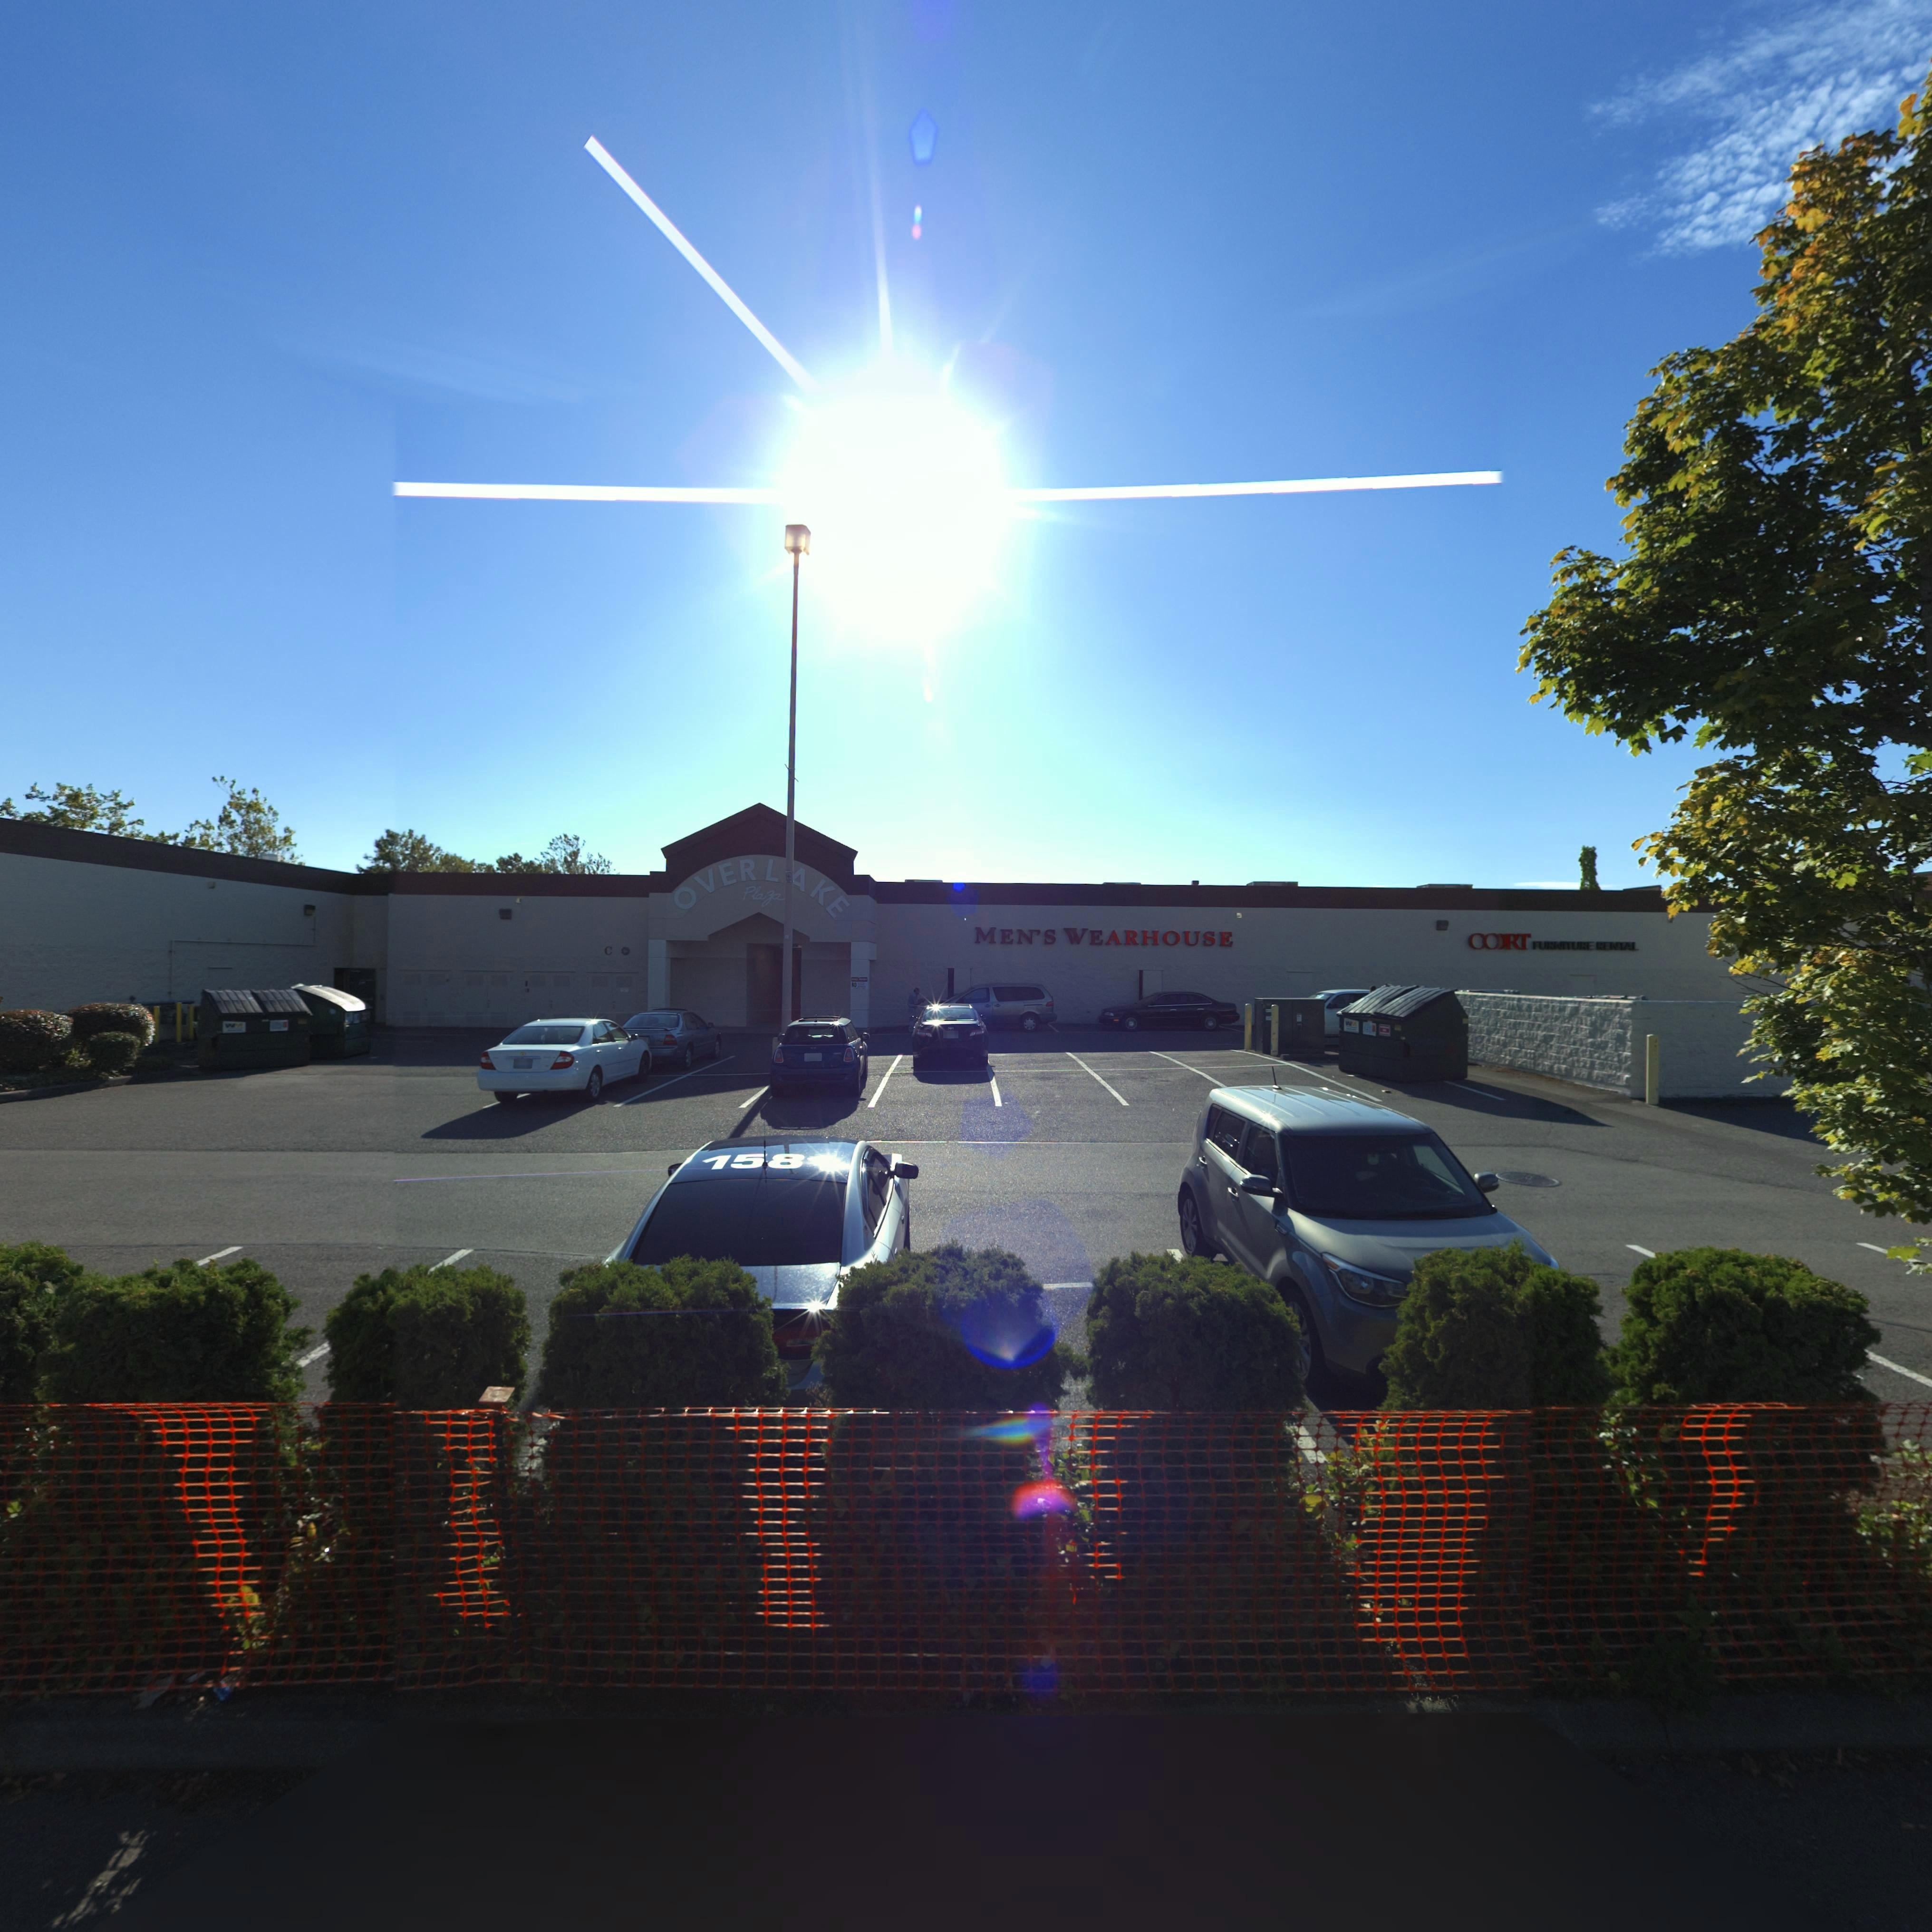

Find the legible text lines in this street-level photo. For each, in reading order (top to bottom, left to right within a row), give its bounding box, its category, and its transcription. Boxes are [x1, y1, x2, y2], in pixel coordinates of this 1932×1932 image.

[1466, 932, 1532, 950] BusinessName: CO*RT